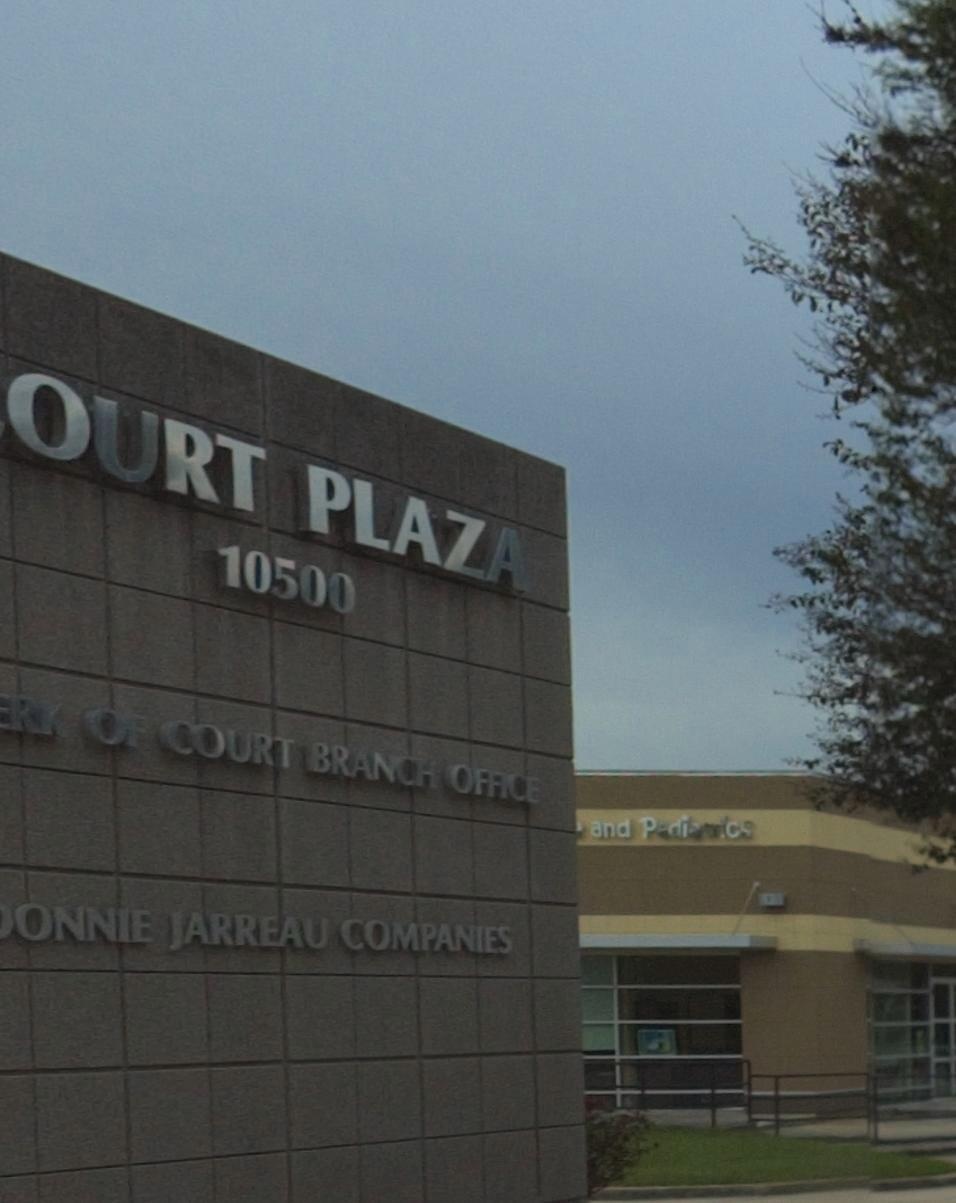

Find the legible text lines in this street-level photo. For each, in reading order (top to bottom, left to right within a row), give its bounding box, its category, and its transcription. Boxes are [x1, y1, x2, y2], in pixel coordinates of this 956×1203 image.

[1, 358, 534, 594] None: OURT PLAZA
[215, 539, 358, 616] StreetNumber: 10500
[0, 688, 543, 806] None: RK OF COURT BRANCH OFFICE
[589, 812, 755, 840] BusinessName: and Pediatrics
[13, 901, 513, 956] None: ONNIE JARREAU COMPANIES